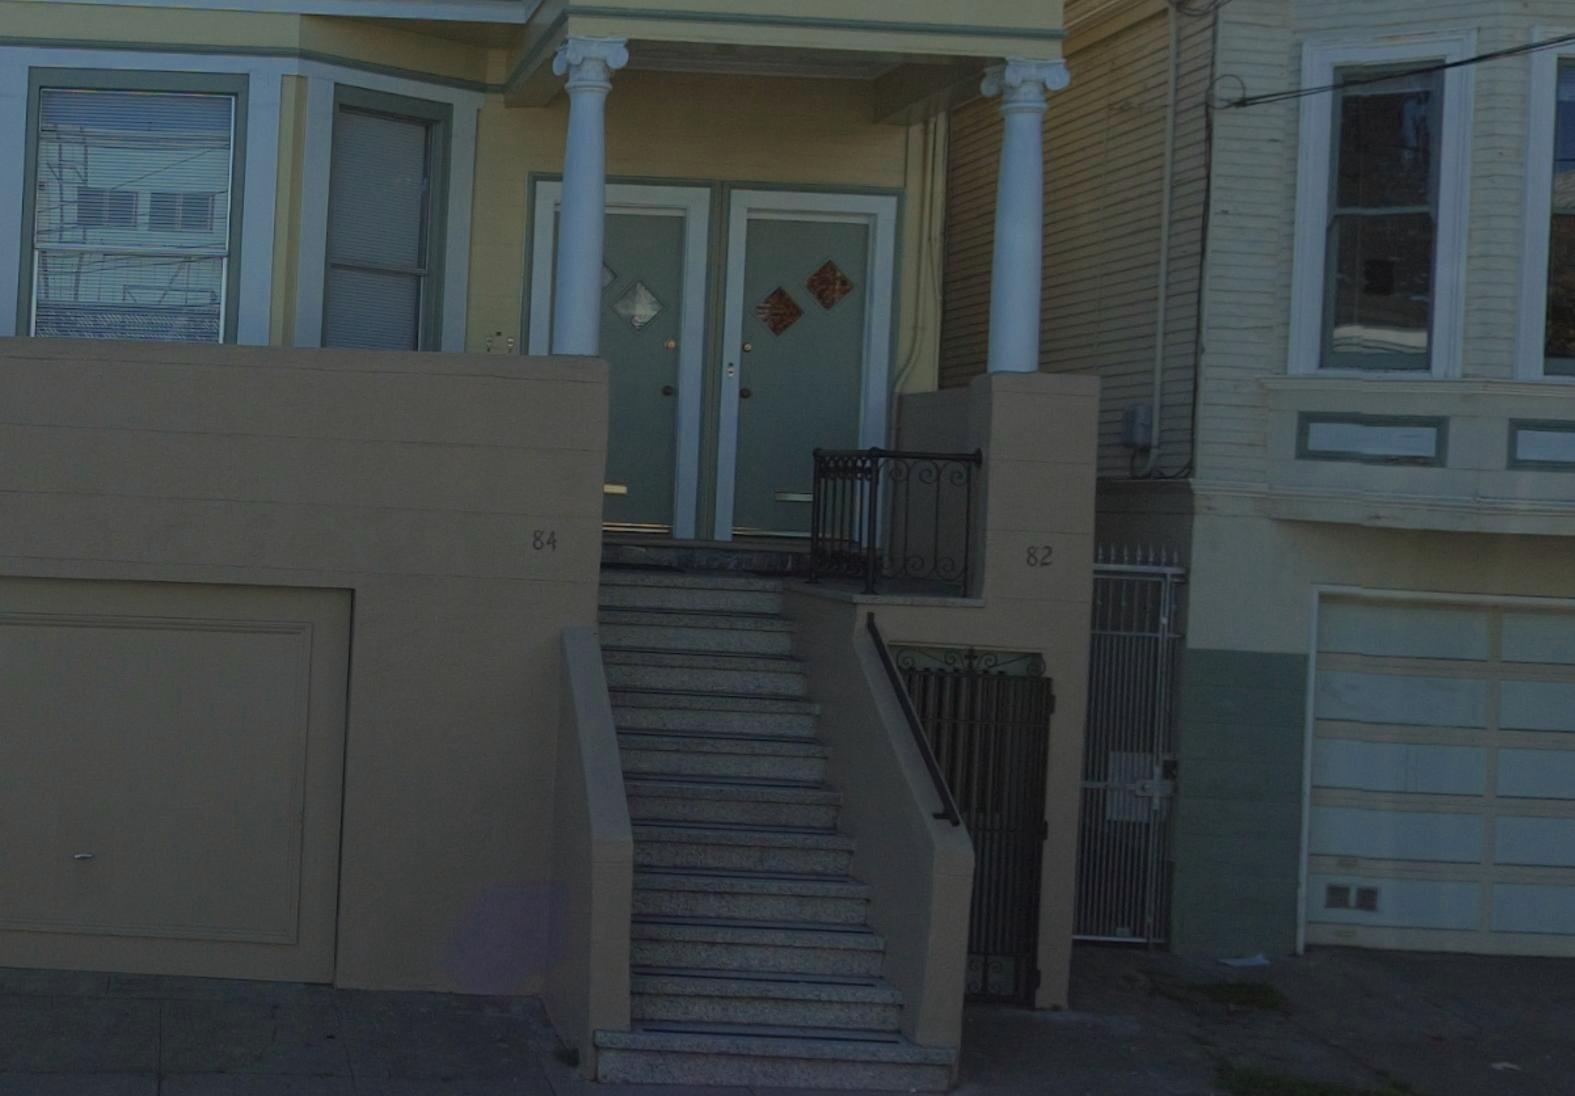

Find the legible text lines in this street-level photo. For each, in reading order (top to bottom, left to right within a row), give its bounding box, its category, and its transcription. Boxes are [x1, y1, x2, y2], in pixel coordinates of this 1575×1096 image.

[530, 528, 559, 553] StreetNumber: 84
[1024, 544, 1055, 568] StreetNumber: 82